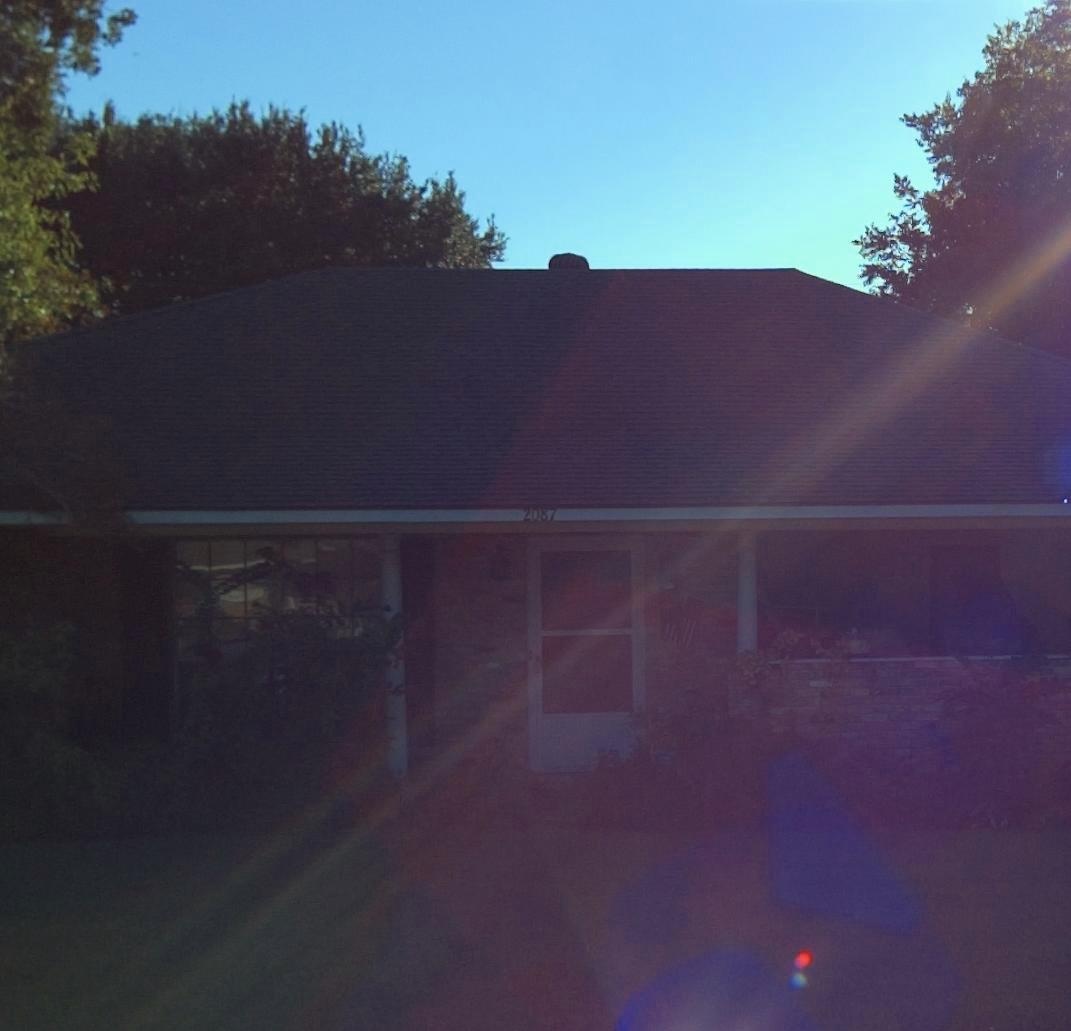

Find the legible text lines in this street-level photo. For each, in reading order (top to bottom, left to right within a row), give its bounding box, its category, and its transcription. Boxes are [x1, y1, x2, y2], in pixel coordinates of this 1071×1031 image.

[521, 506, 560, 523] StreetNumber: 2087